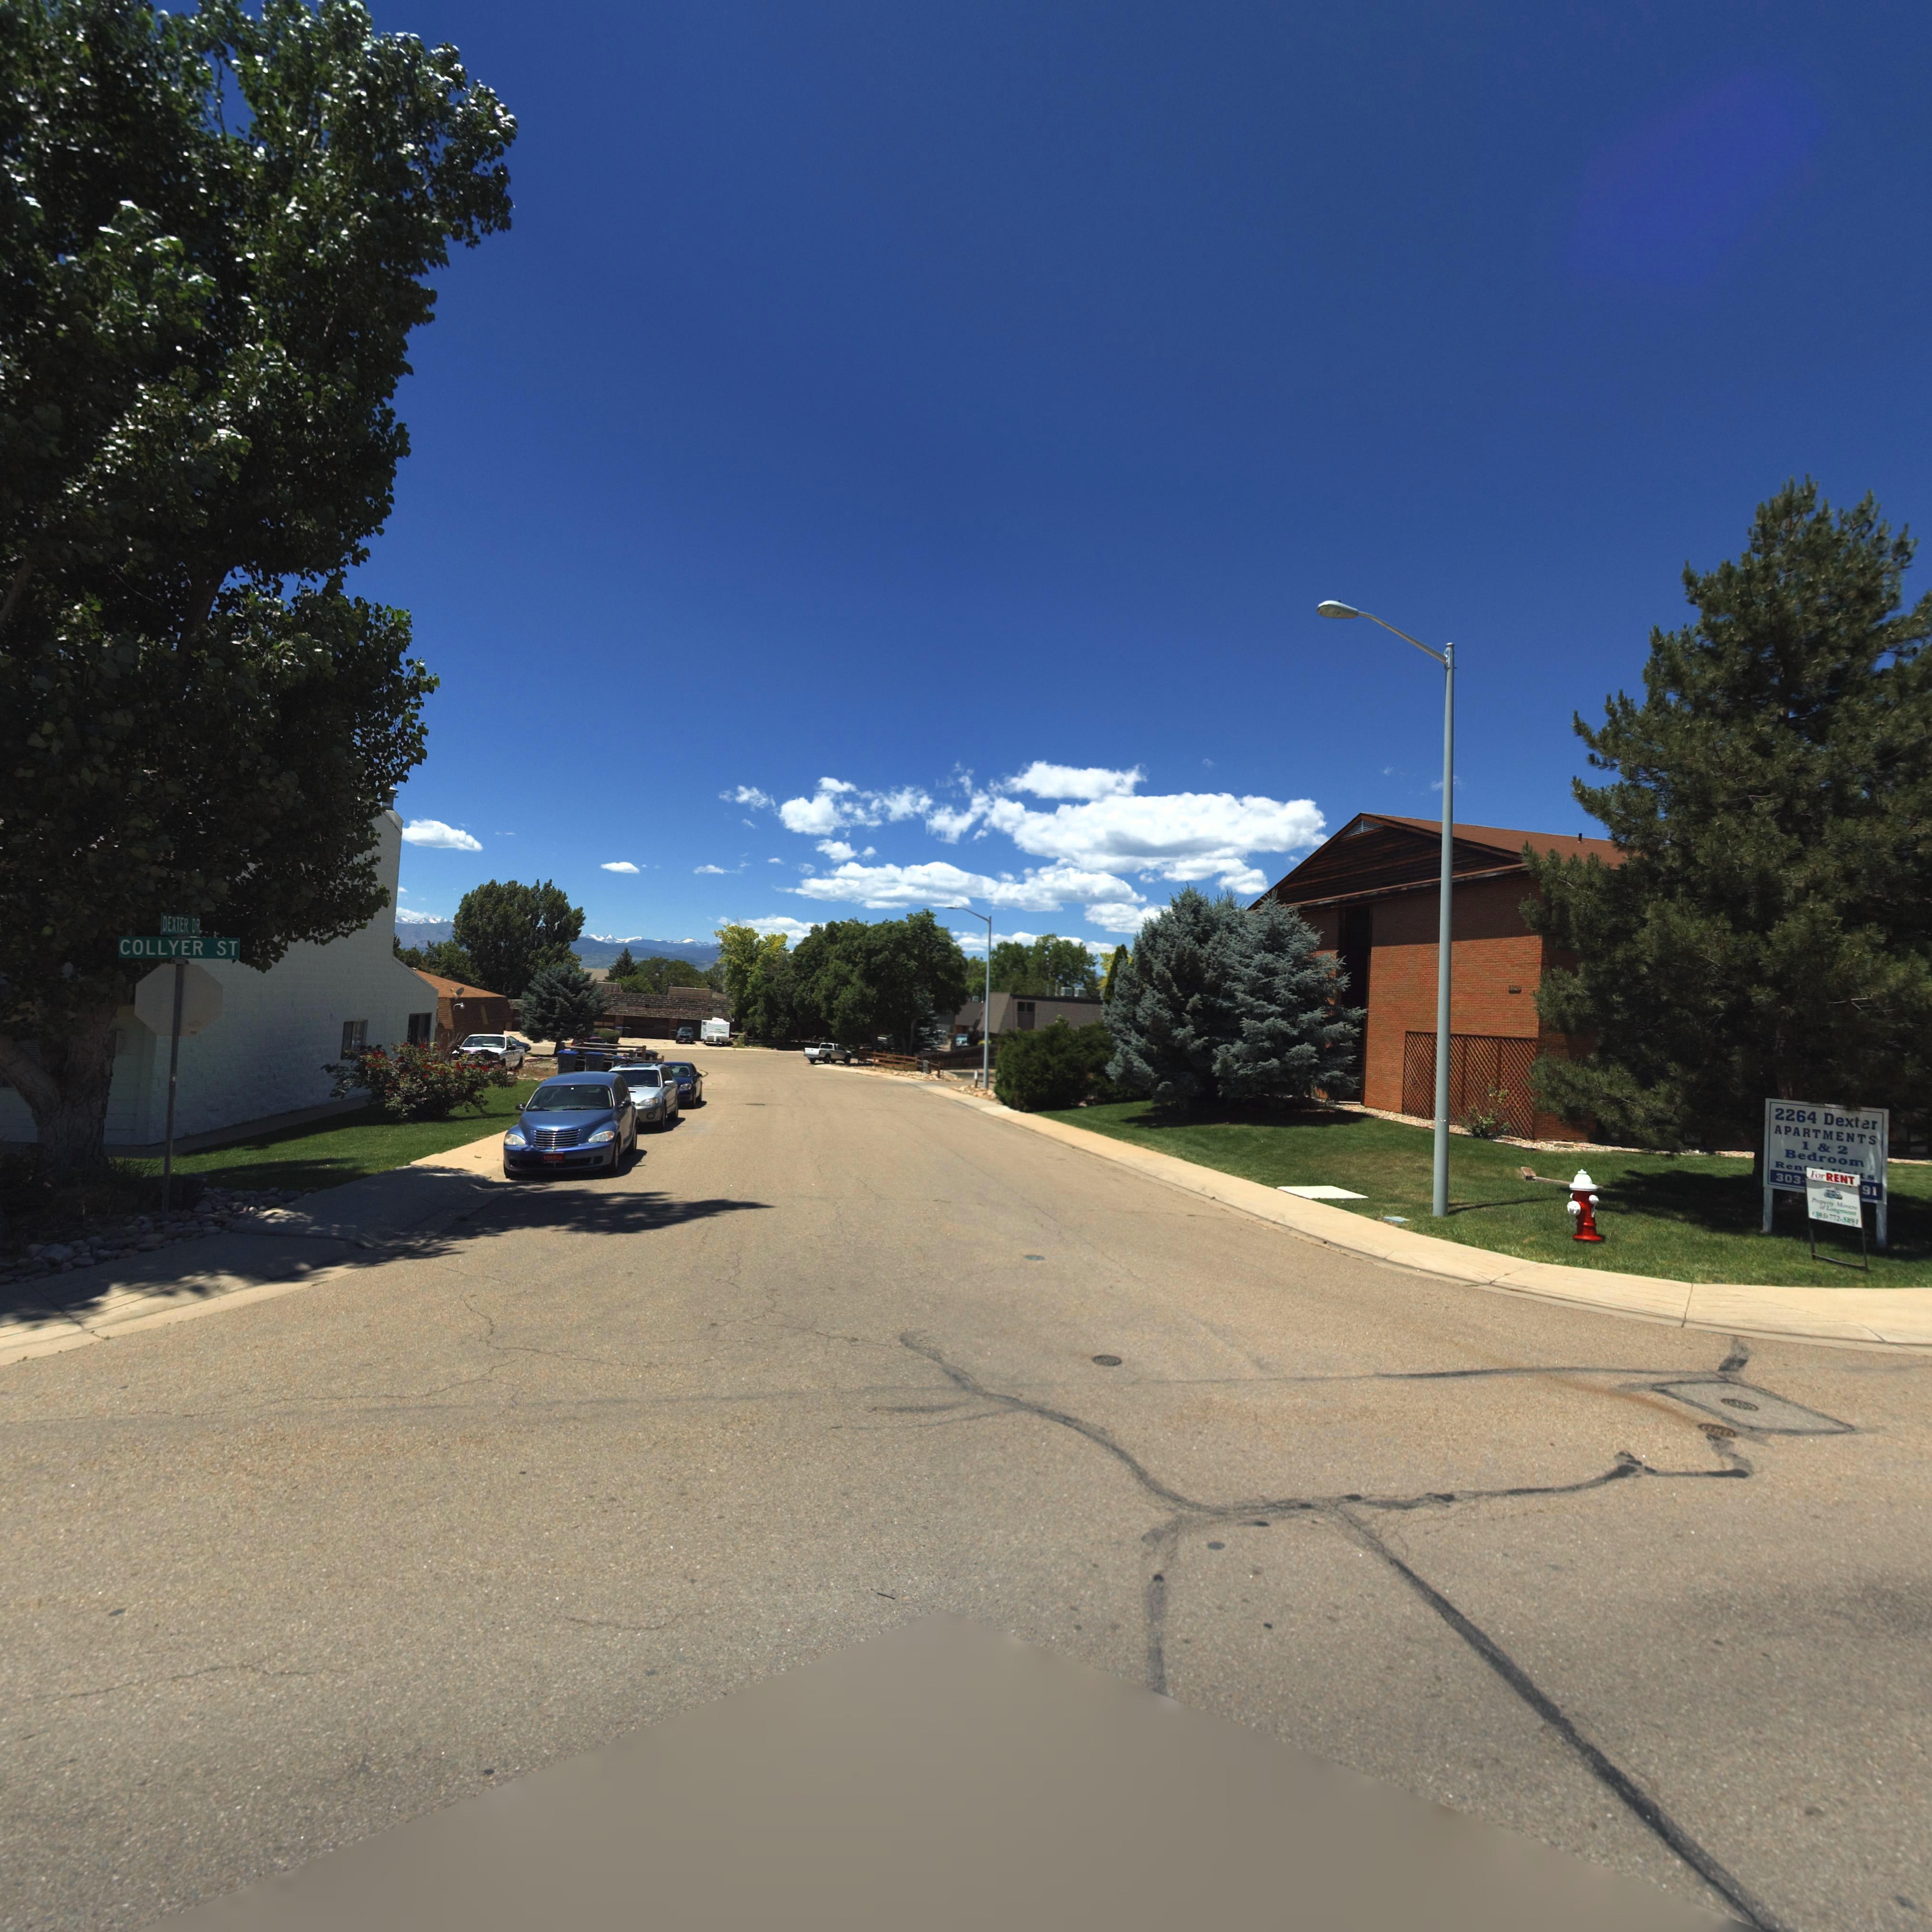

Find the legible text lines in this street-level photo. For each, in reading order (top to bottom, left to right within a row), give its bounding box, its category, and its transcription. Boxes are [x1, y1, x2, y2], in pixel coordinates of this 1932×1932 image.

[162, 914, 201, 934] StreetNumber: DEXTER DR
[118, 938, 238, 956] StreetName: COLLYER ST
[1508, 985, 1520, 991] StreetNumber: *2**